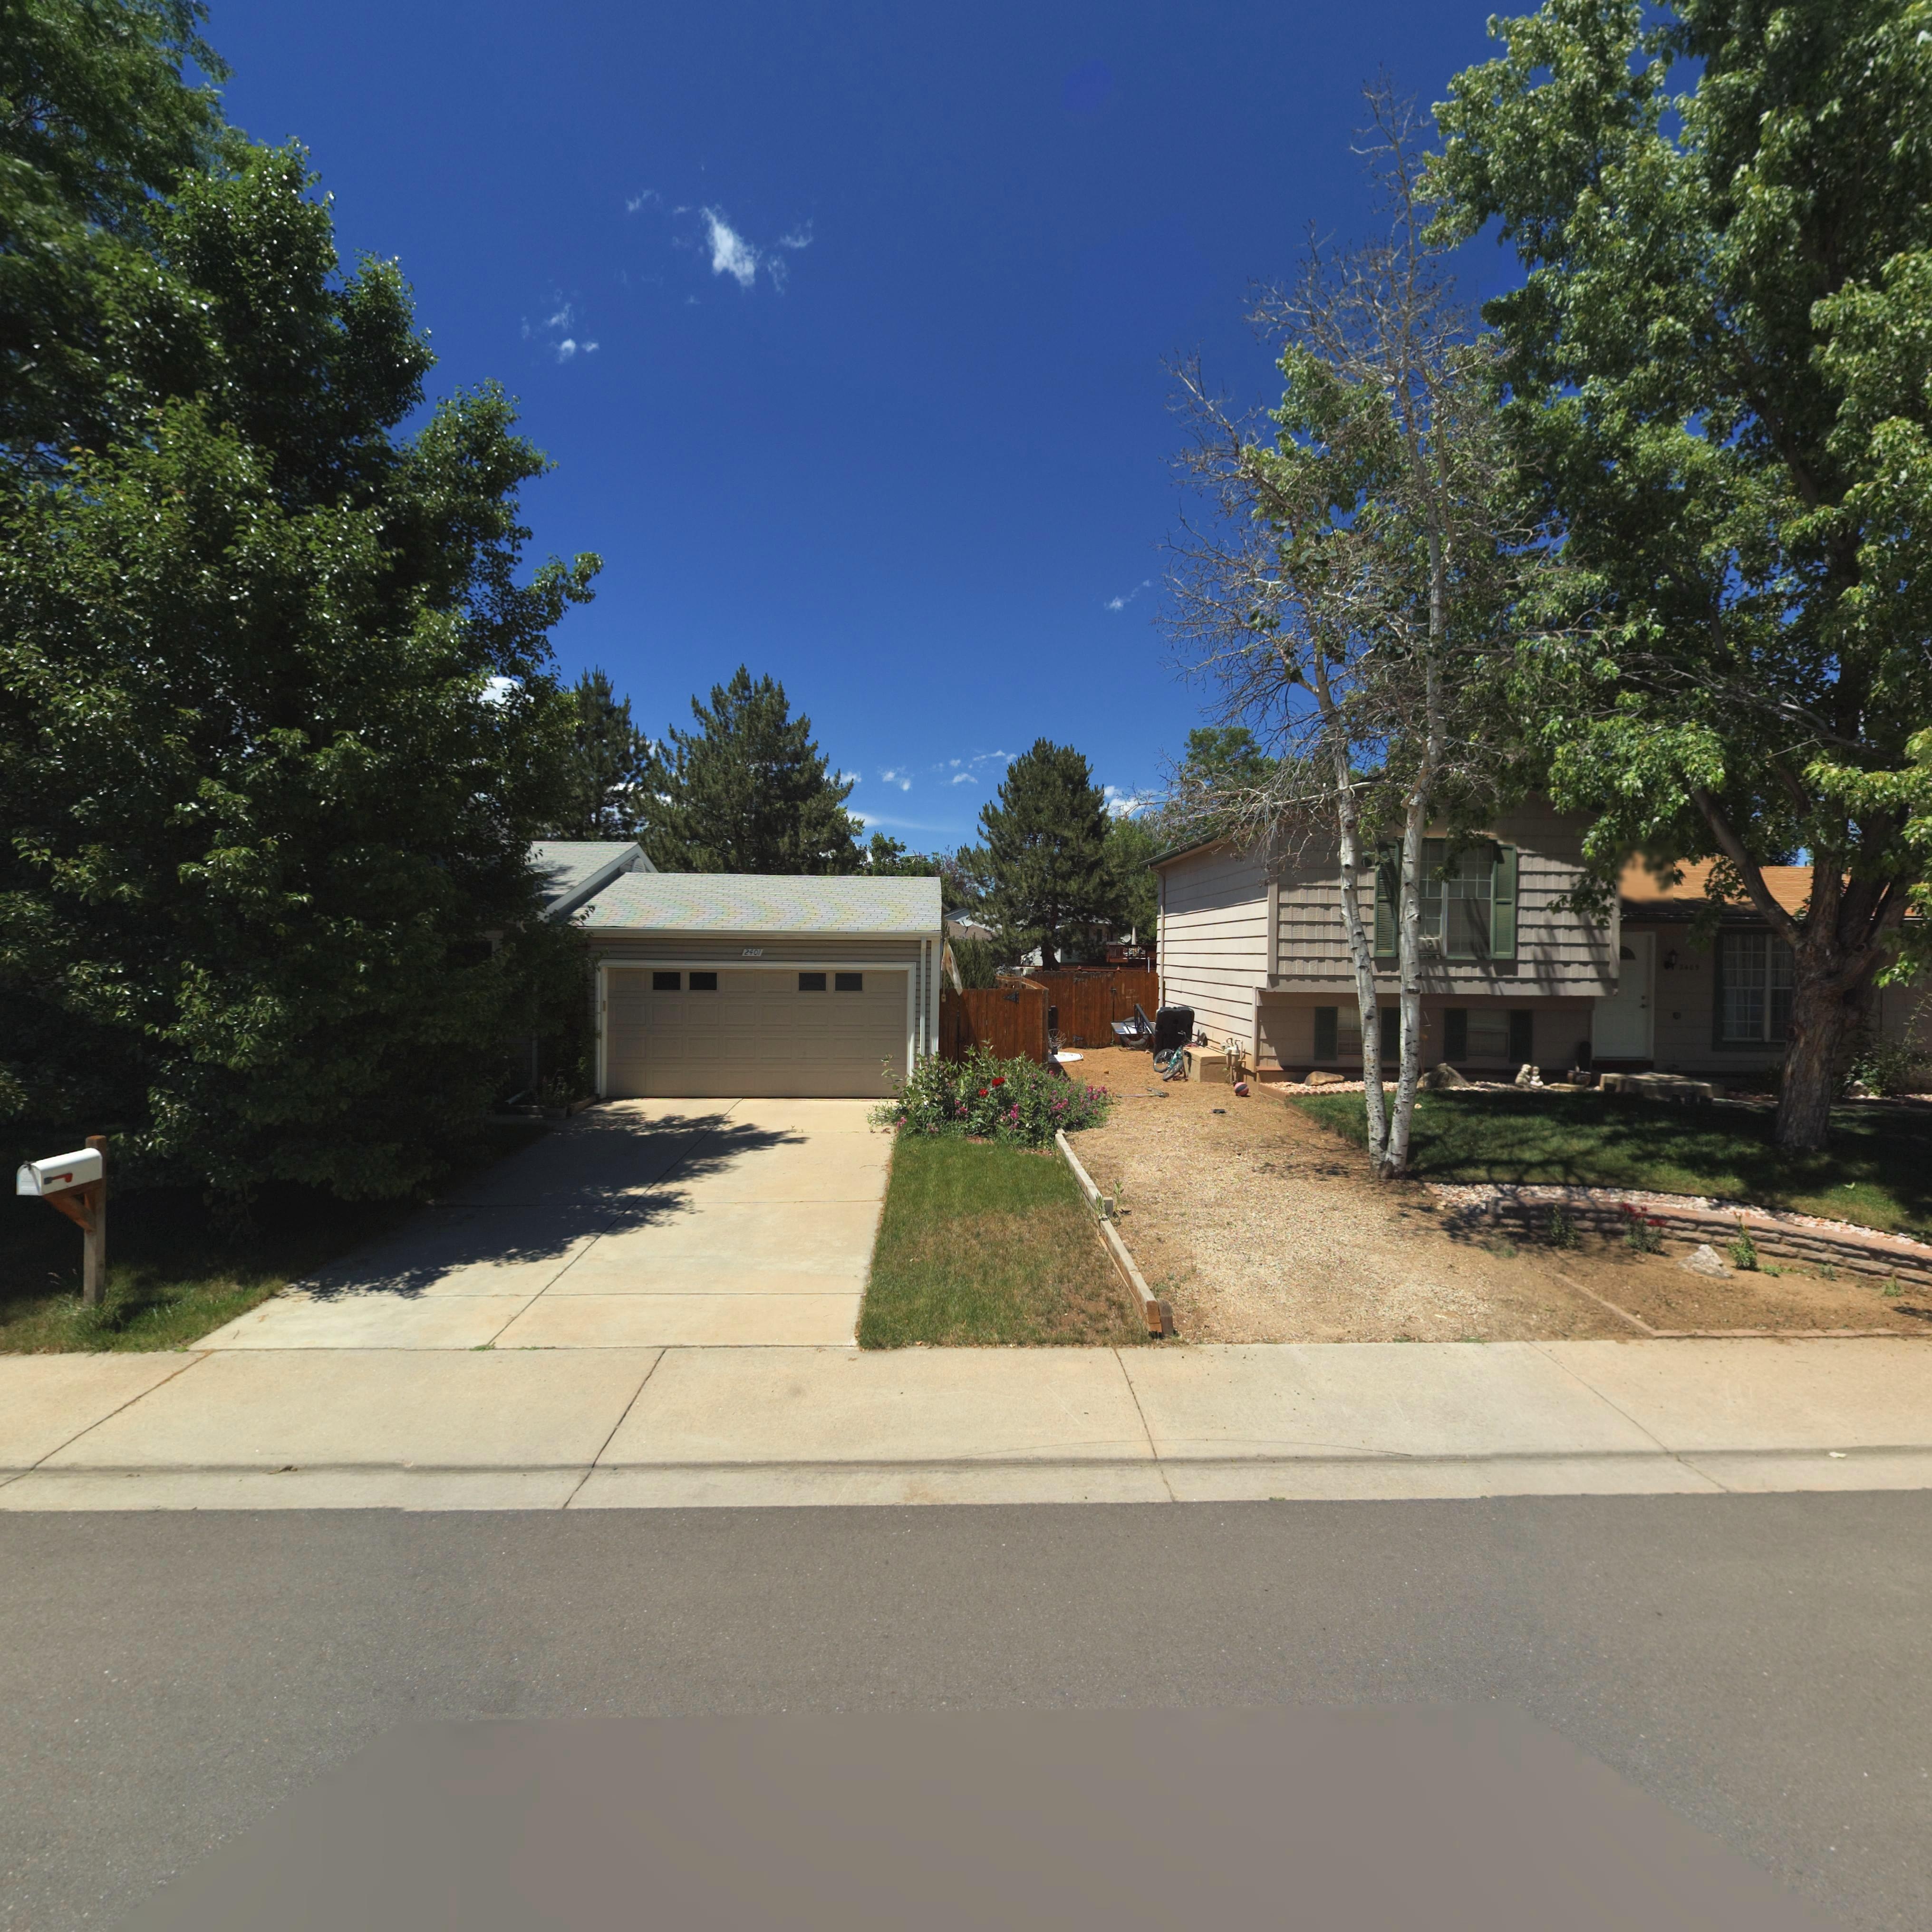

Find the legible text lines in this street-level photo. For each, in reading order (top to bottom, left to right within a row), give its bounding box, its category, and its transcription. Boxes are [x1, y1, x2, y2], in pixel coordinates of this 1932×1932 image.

[744, 949, 761, 956] StreetNumber: 2401
[1678, 963, 1700, 971] StreetNumber: *409